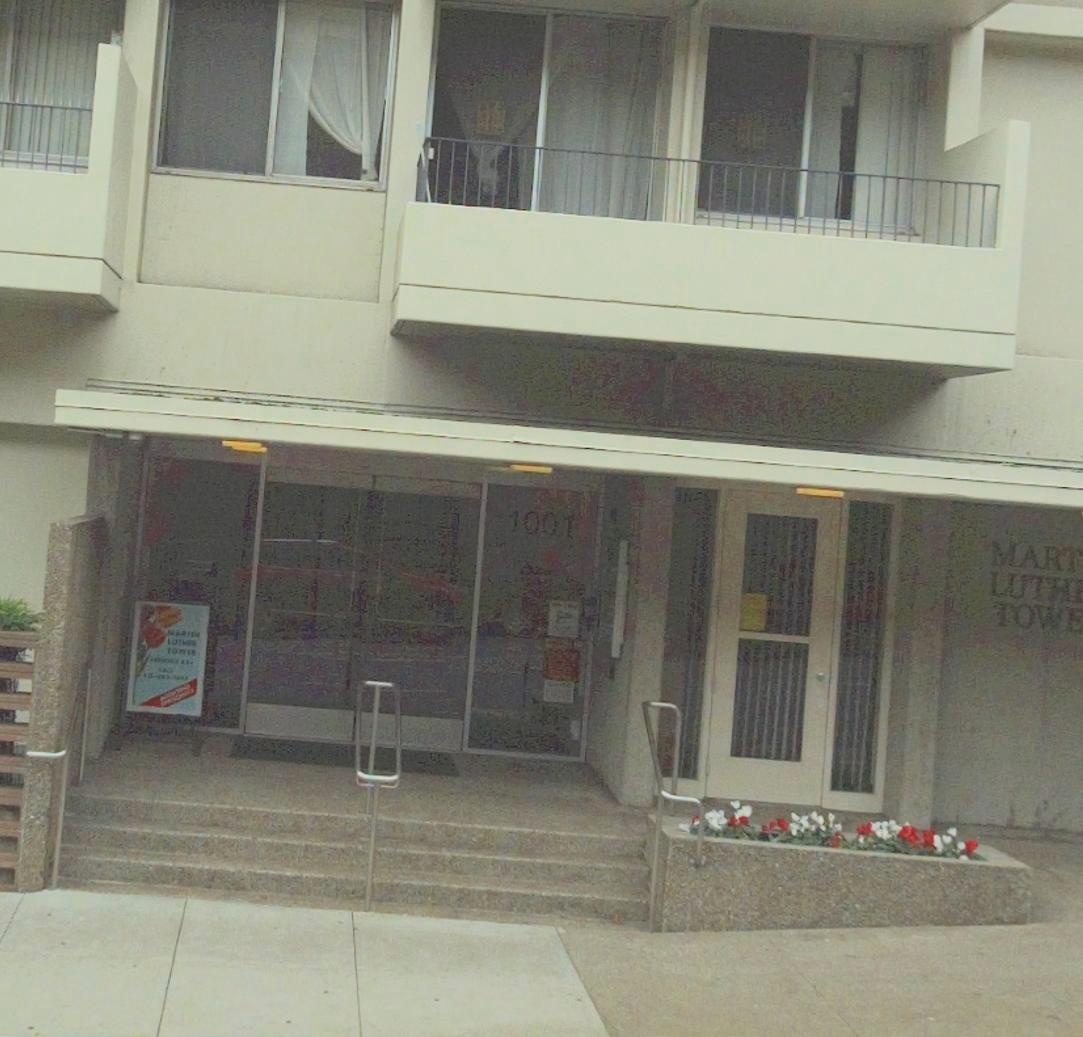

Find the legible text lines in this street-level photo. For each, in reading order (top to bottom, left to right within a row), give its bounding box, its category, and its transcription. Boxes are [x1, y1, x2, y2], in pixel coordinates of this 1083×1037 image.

[507, 506, 577, 540] StreetNumber: 1001
[988, 536, 1082, 575] None: MART
[986, 566, 1078, 606] None: LUTH
[165, 646, 198, 659] None: TOWER
[166, 636, 198, 649] None: LUTHER
[165, 626, 202, 640] None: MARTIN
[990, 598, 1073, 634] None: TOW